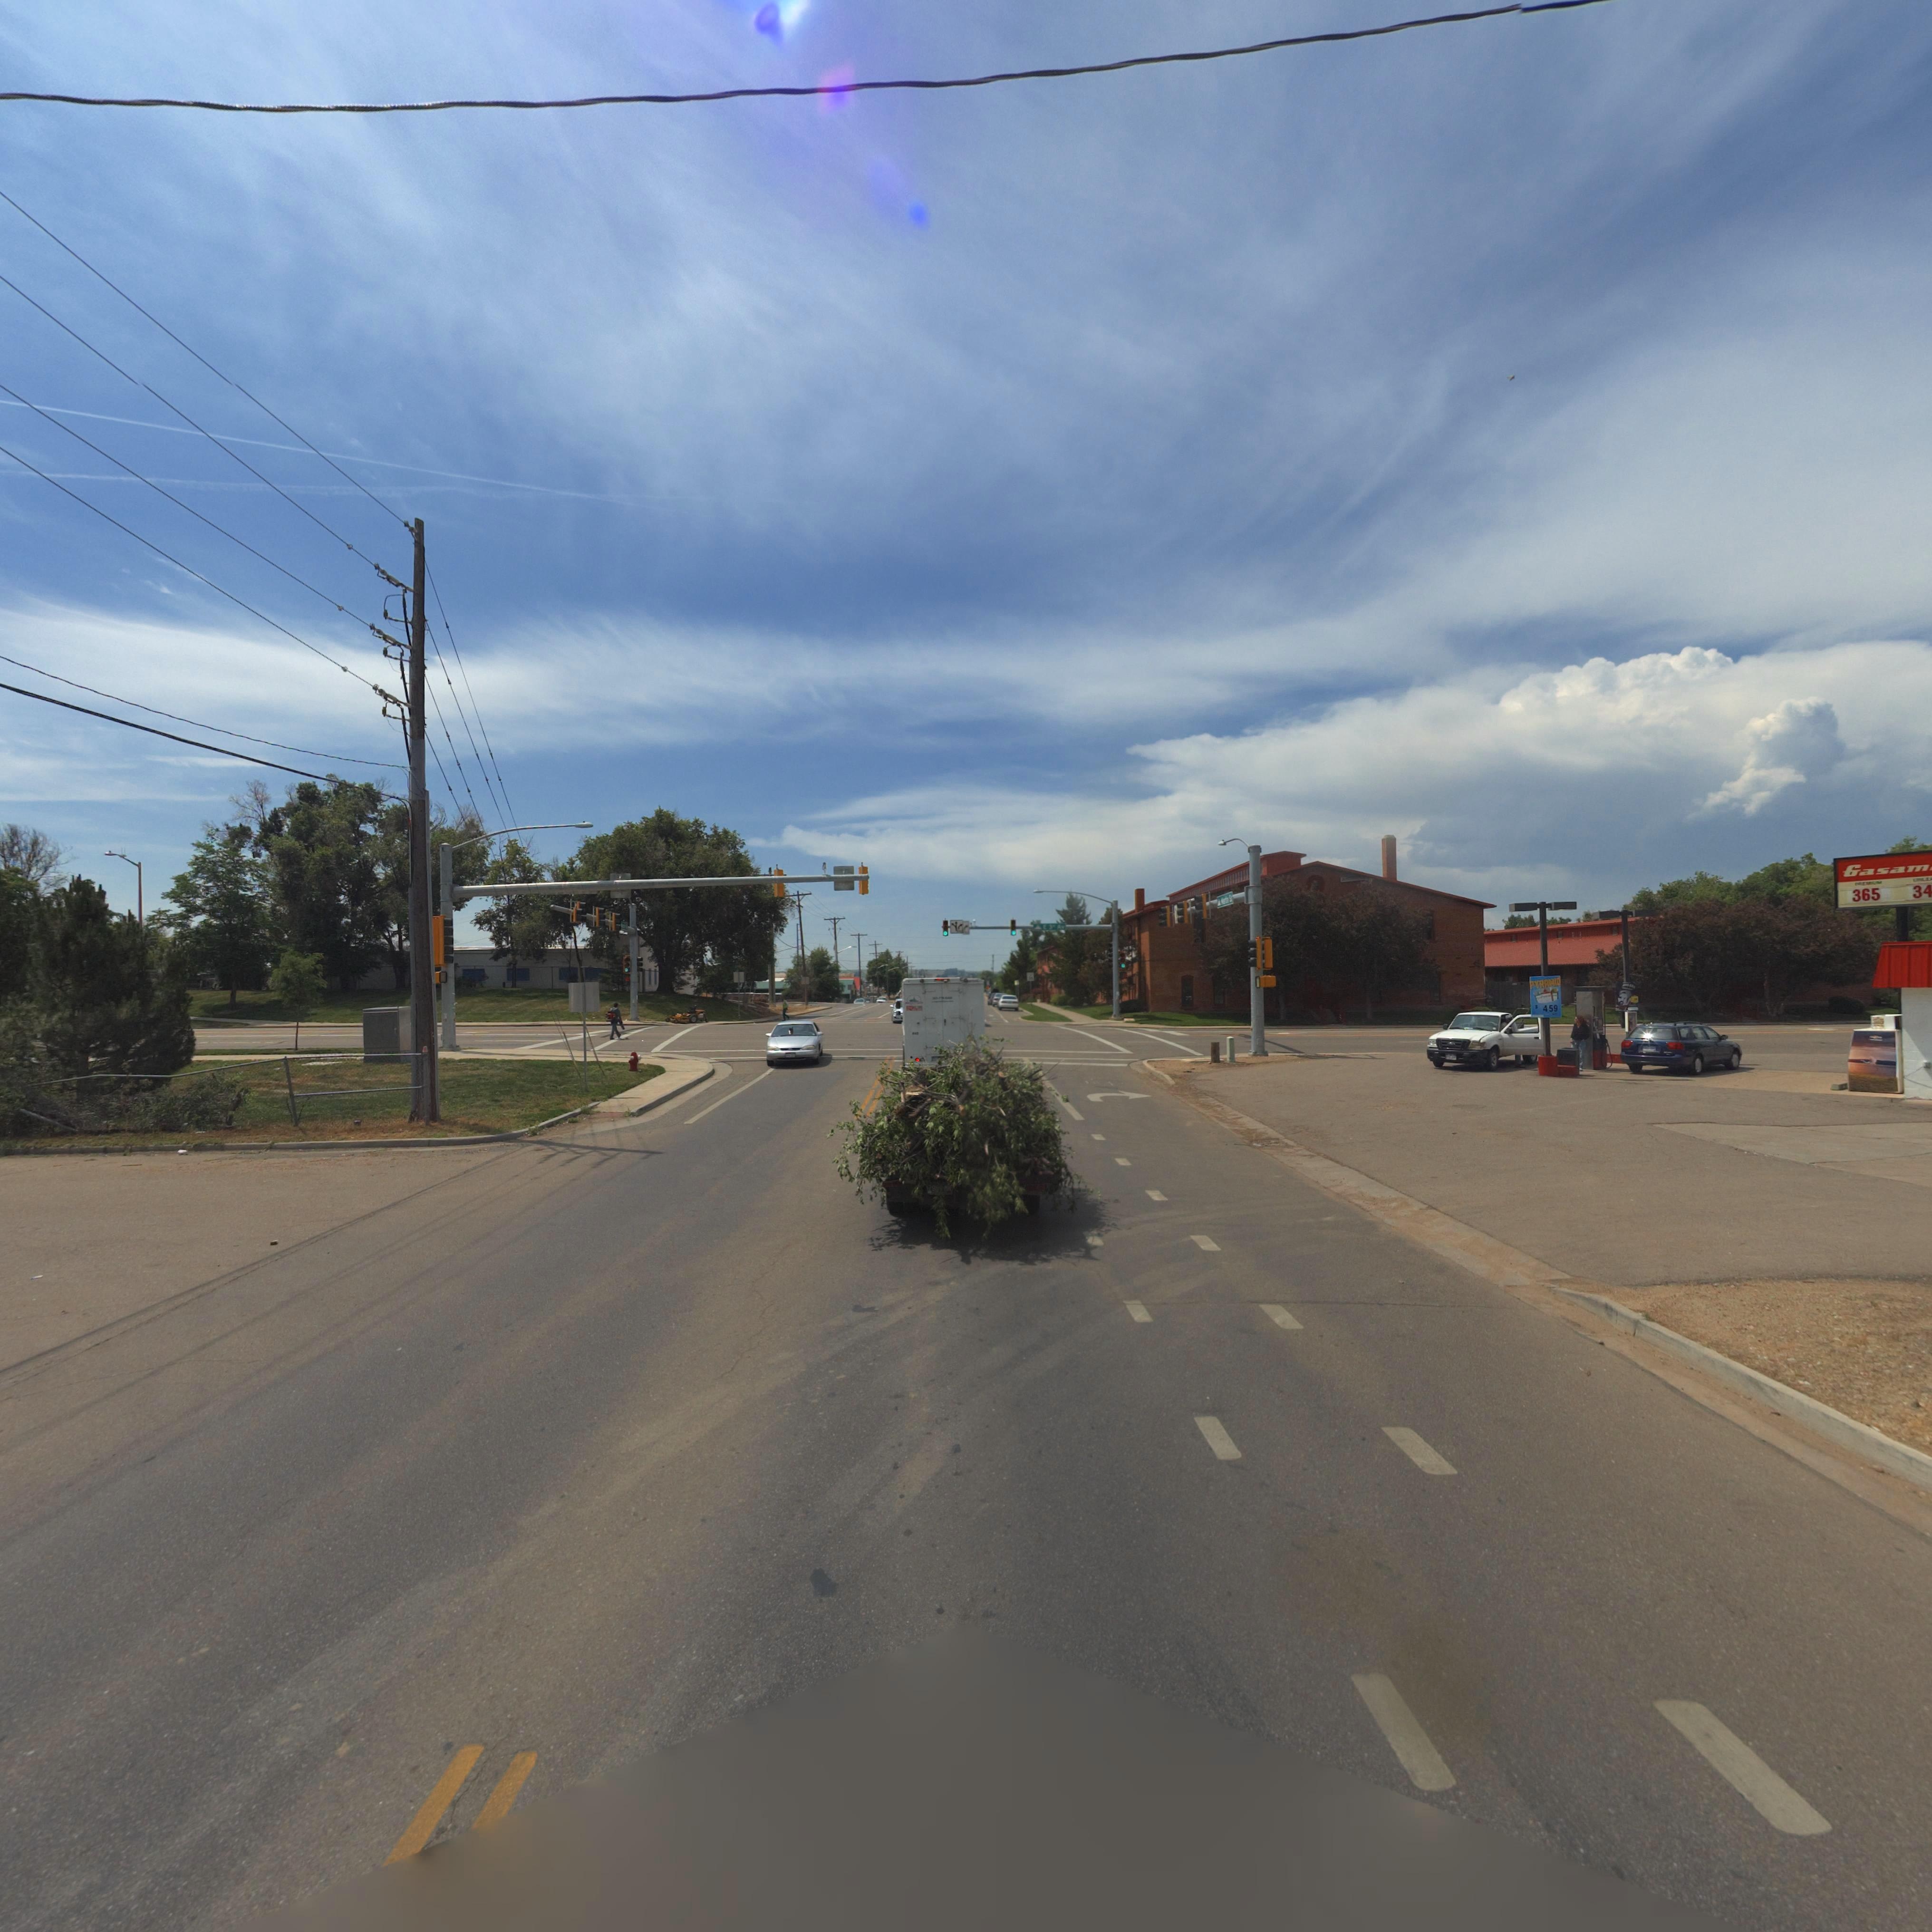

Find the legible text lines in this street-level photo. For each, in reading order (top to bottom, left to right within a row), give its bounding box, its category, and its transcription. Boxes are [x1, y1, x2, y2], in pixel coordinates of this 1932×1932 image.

[1842, 864, 1930, 877] BusinessName: Gasam
[1043, 923, 1065, 929] StreetName: E 3** Av